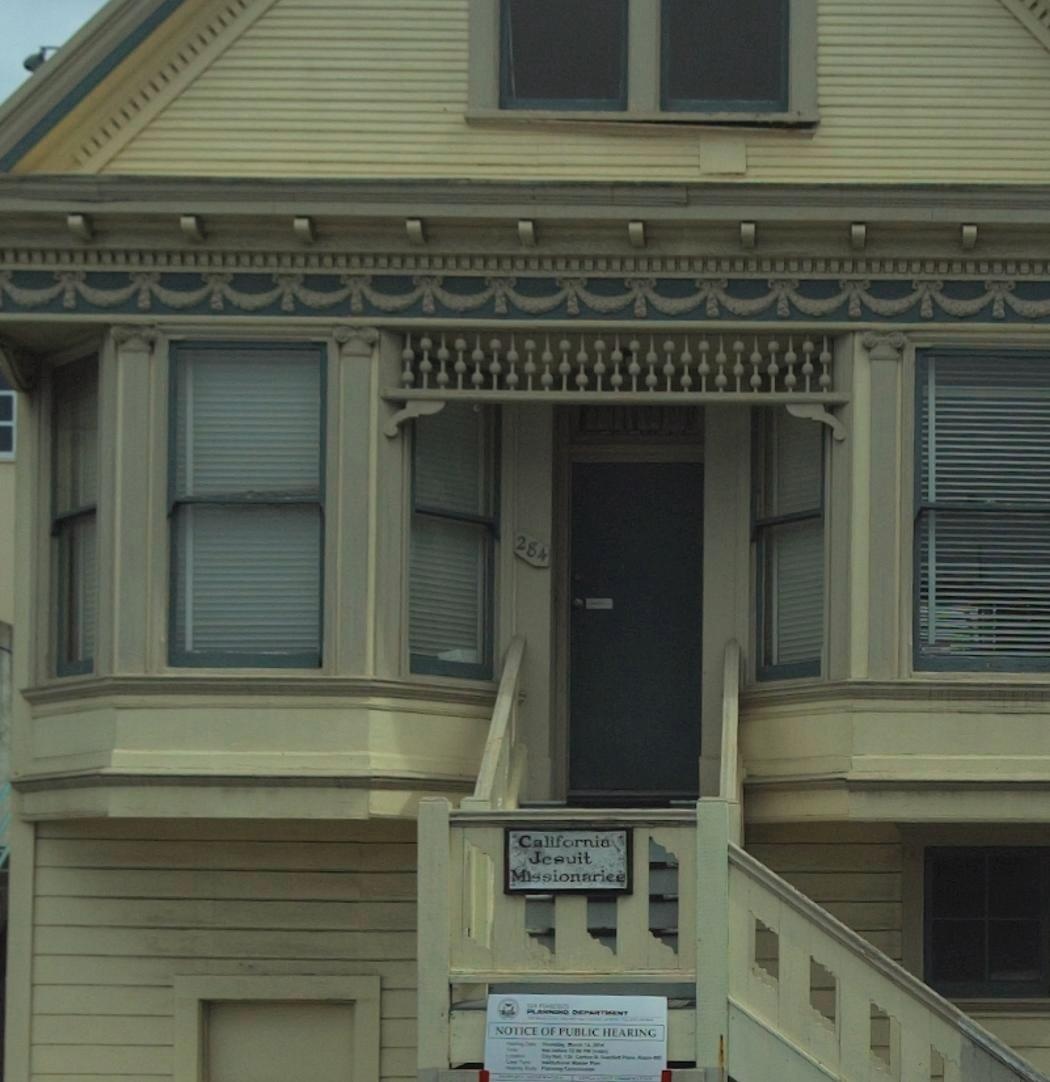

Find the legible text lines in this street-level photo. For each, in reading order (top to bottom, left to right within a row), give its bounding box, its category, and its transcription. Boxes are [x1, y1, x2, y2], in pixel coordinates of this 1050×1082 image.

[513, 530, 549, 567] StreetNumber: 284
[518, 834, 611, 850] BusinessName: California
[527, 849, 593, 867] BusinessName: Jesuit
[510, 865, 626, 885] BusinessName: Missionaries
[493, 1024, 658, 1040] None: NOTICE OF PUBLIC HEARING